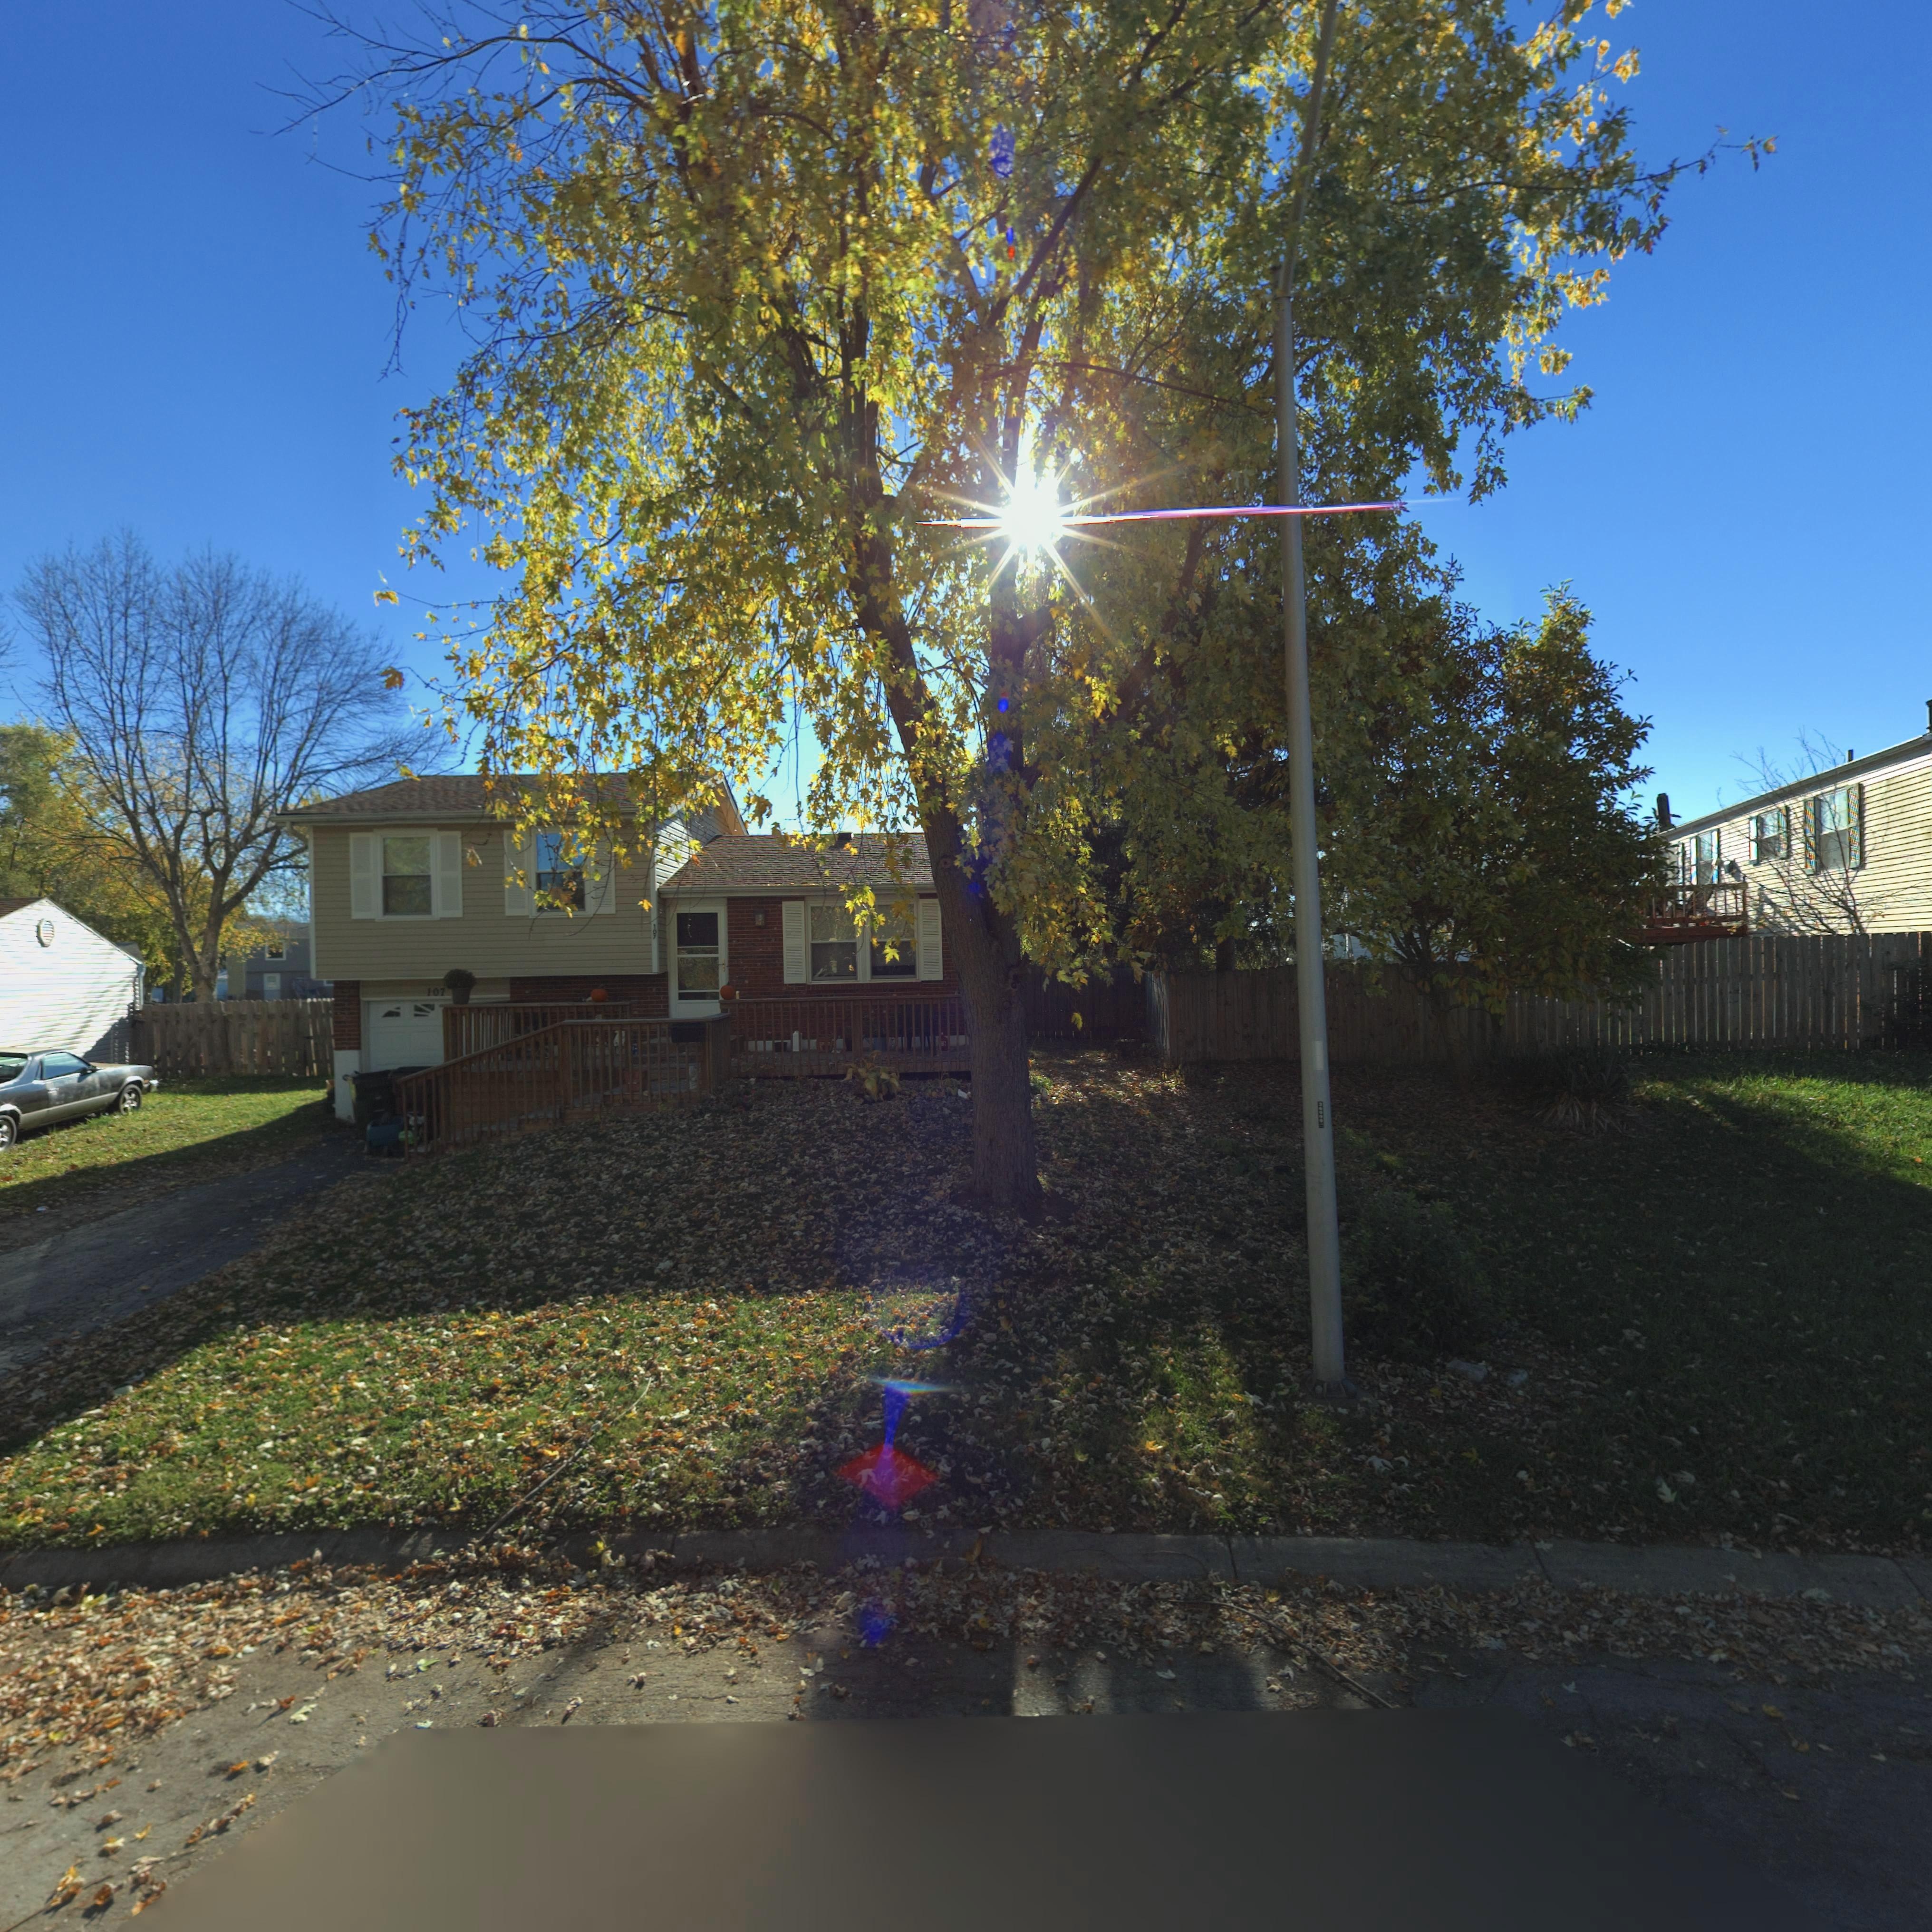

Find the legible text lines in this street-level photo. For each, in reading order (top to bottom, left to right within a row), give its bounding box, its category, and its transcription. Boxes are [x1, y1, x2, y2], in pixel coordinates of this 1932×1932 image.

[653, 924, 657, 940] StreetNumber: 107
[426, 987, 446, 997] StreetNumber: 107